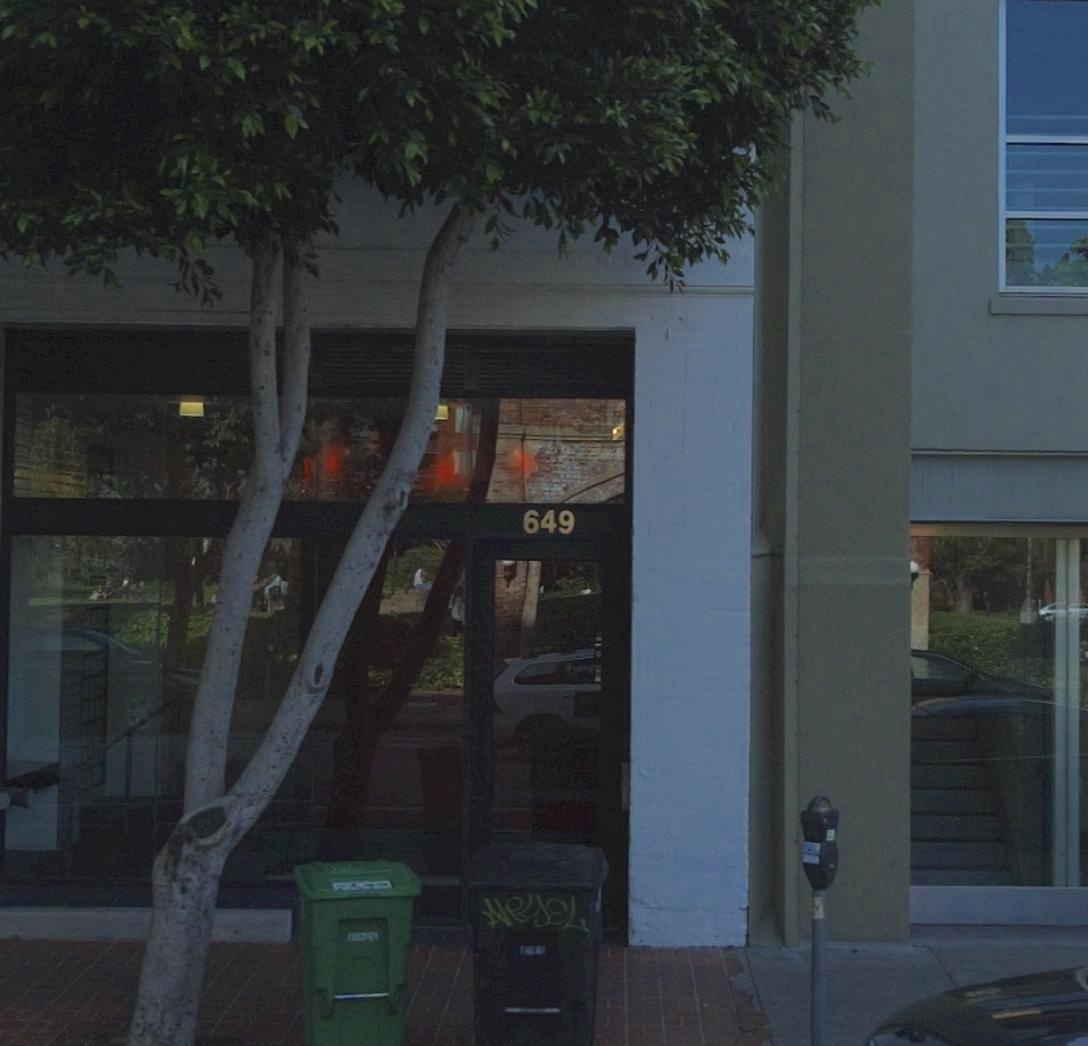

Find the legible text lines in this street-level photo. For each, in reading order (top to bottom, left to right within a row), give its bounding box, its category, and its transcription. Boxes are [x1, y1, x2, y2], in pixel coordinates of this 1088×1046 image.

[520, 506, 578, 536] StreetNumber: 649